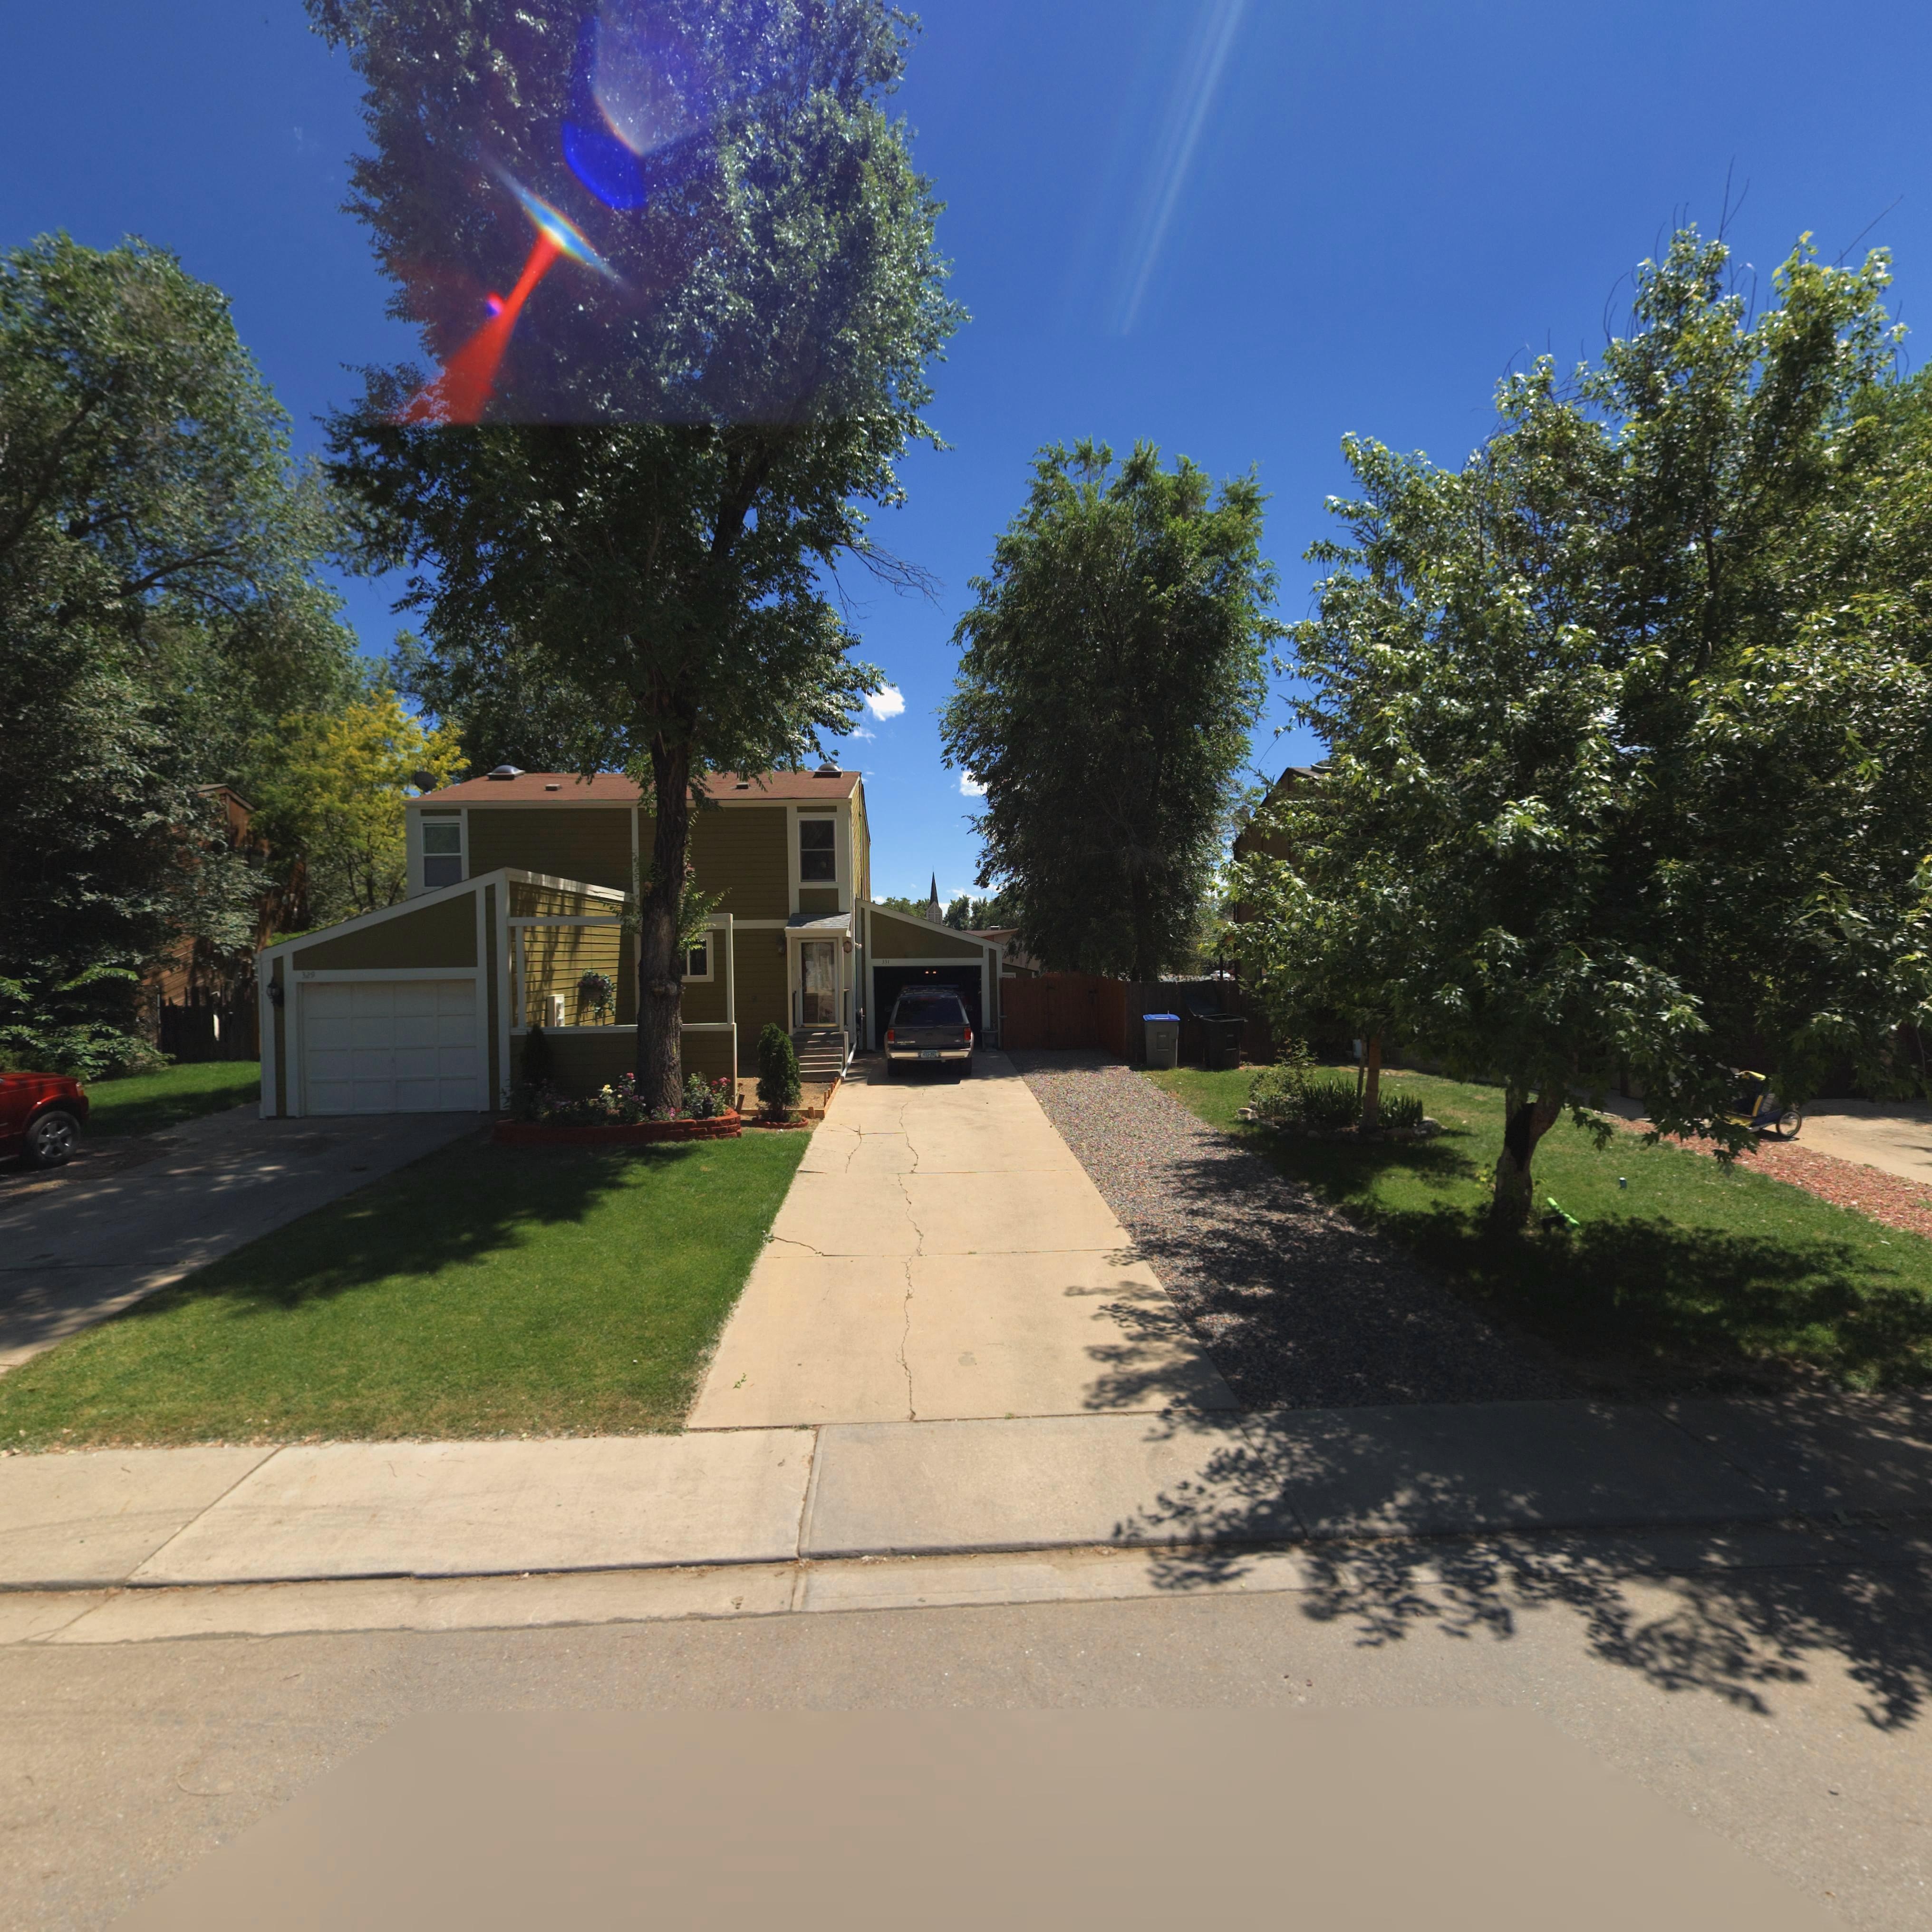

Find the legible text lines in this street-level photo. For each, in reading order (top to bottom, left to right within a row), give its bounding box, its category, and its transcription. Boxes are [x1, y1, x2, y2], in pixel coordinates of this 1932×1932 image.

[881, 959, 889, 965] StreetNumber: 331
[300, 971, 315, 979] StreetNumber: 329